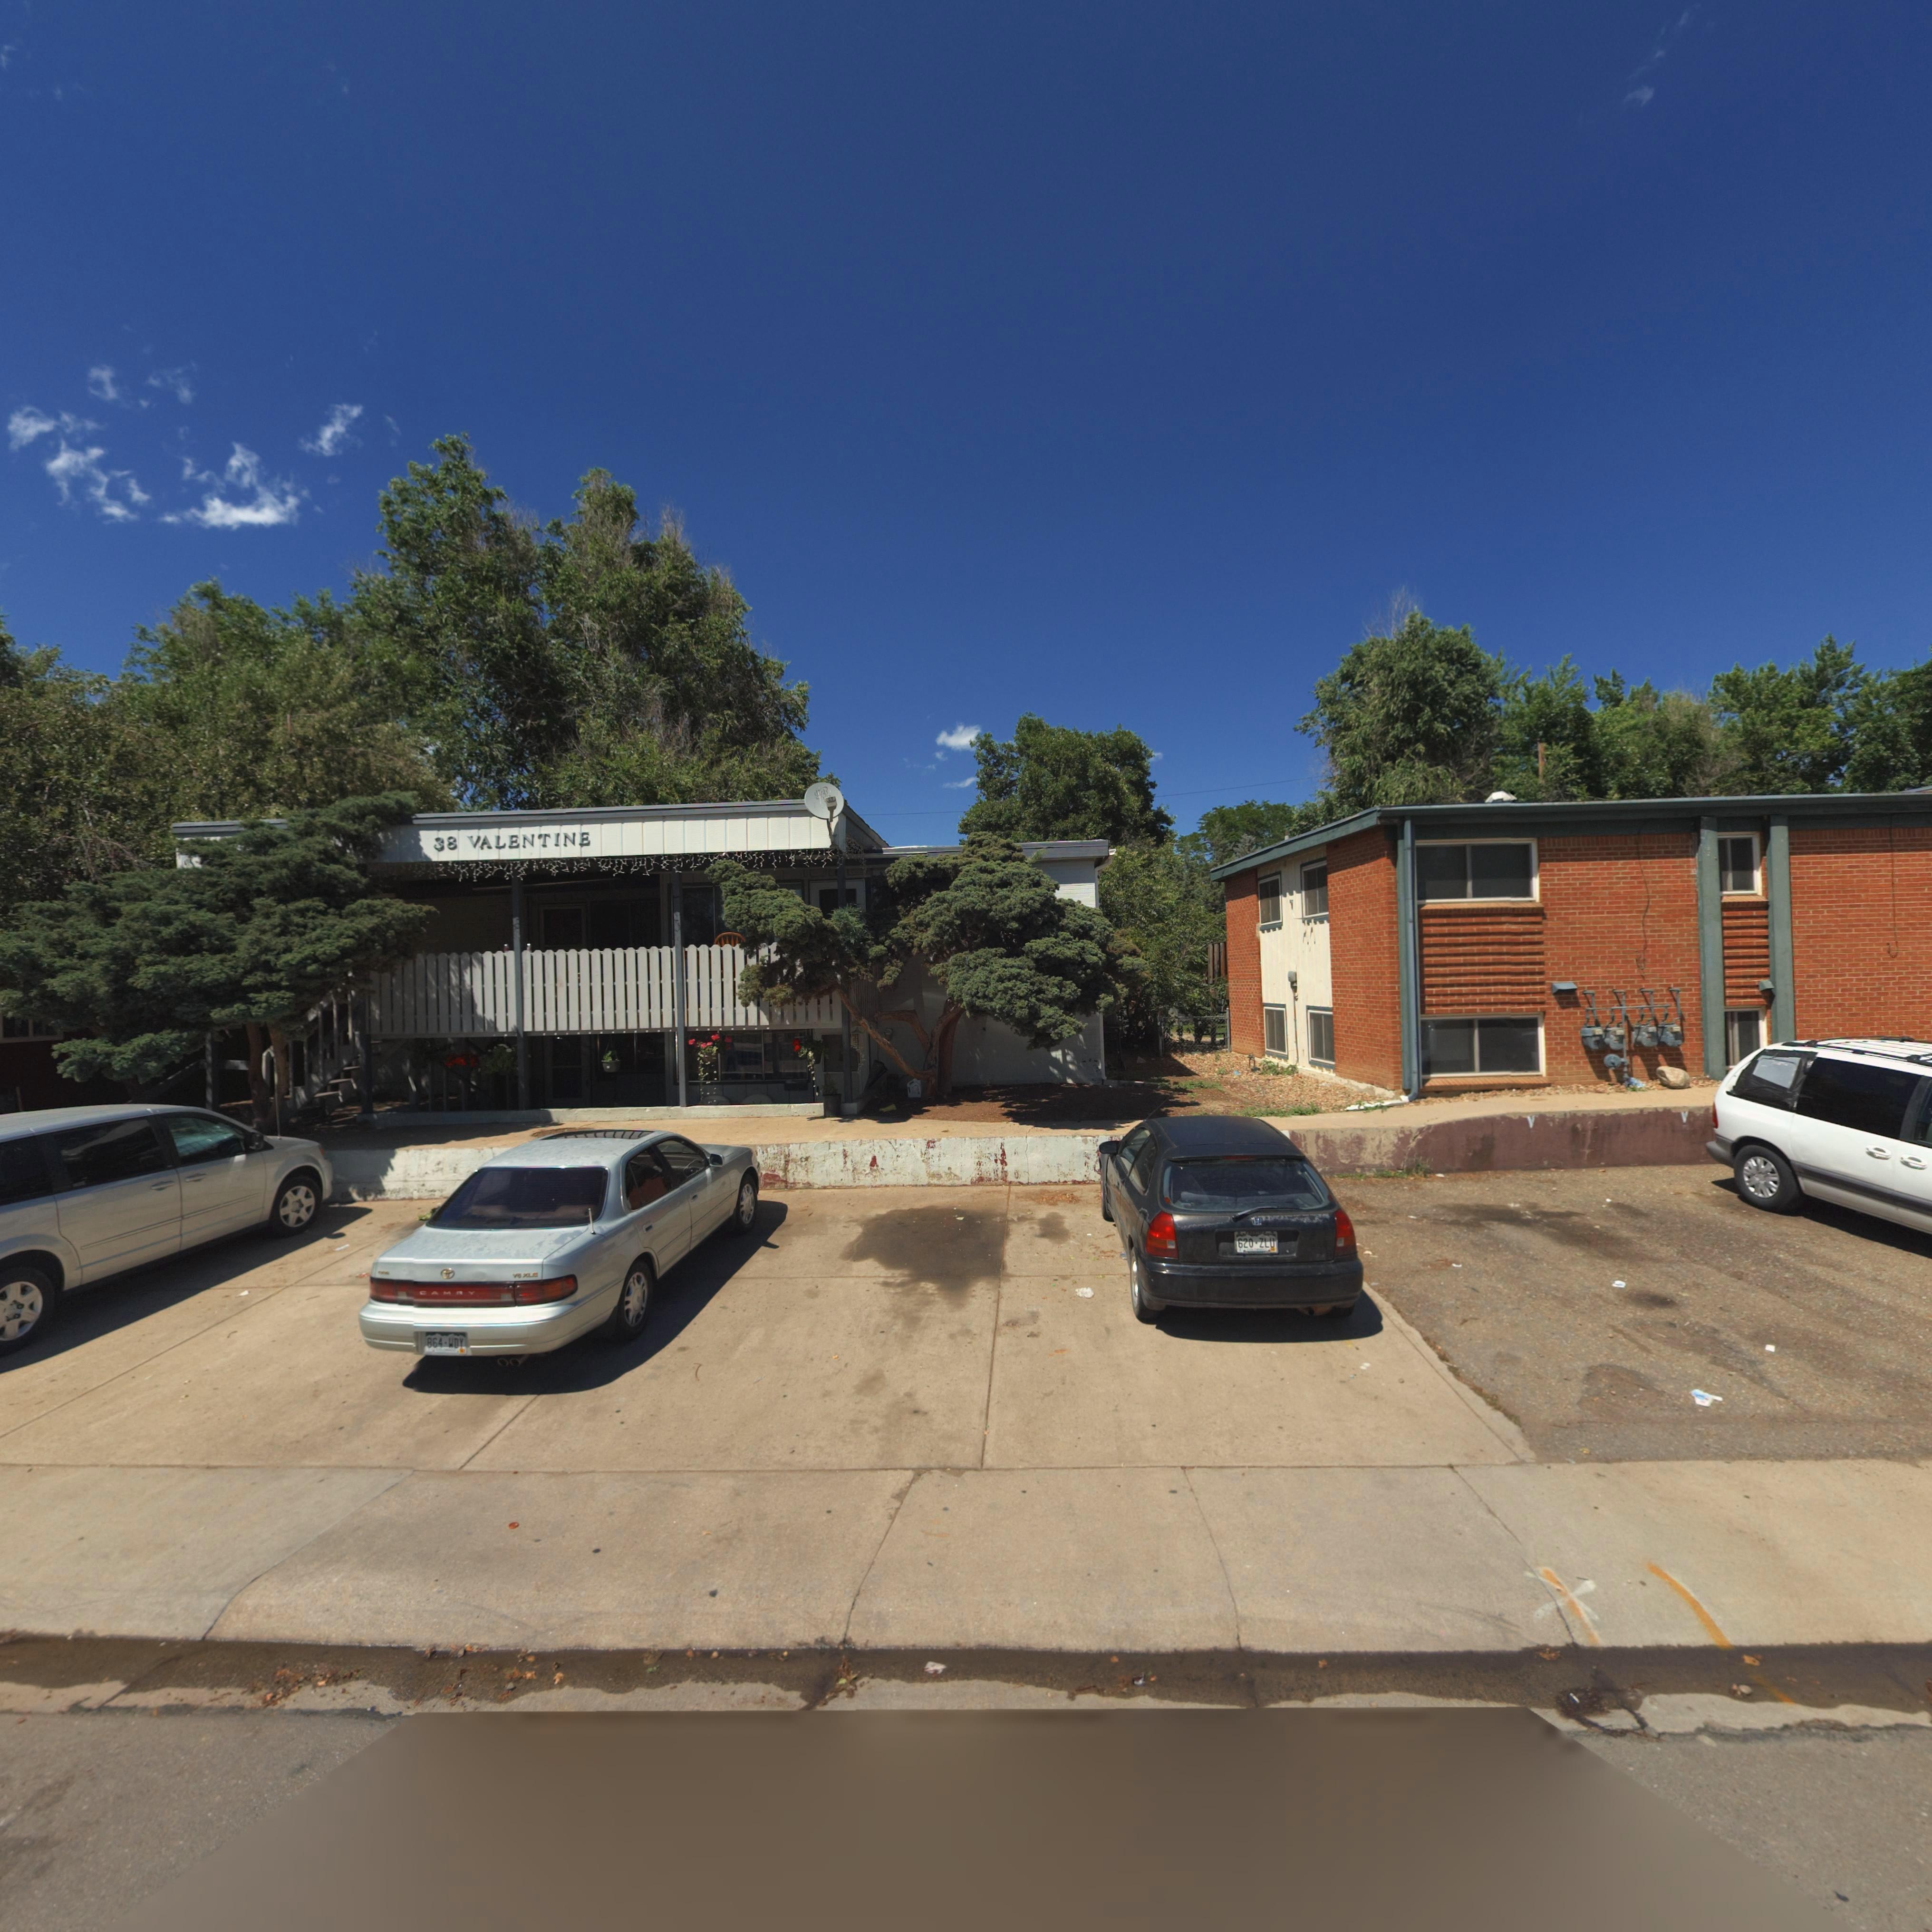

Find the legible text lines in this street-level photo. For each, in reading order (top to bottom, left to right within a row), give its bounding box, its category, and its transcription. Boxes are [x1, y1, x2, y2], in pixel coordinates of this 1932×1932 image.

[433, 835, 457, 850] StreetNumber: 38
[466, 831, 590, 849] StreetName: VALENTINE